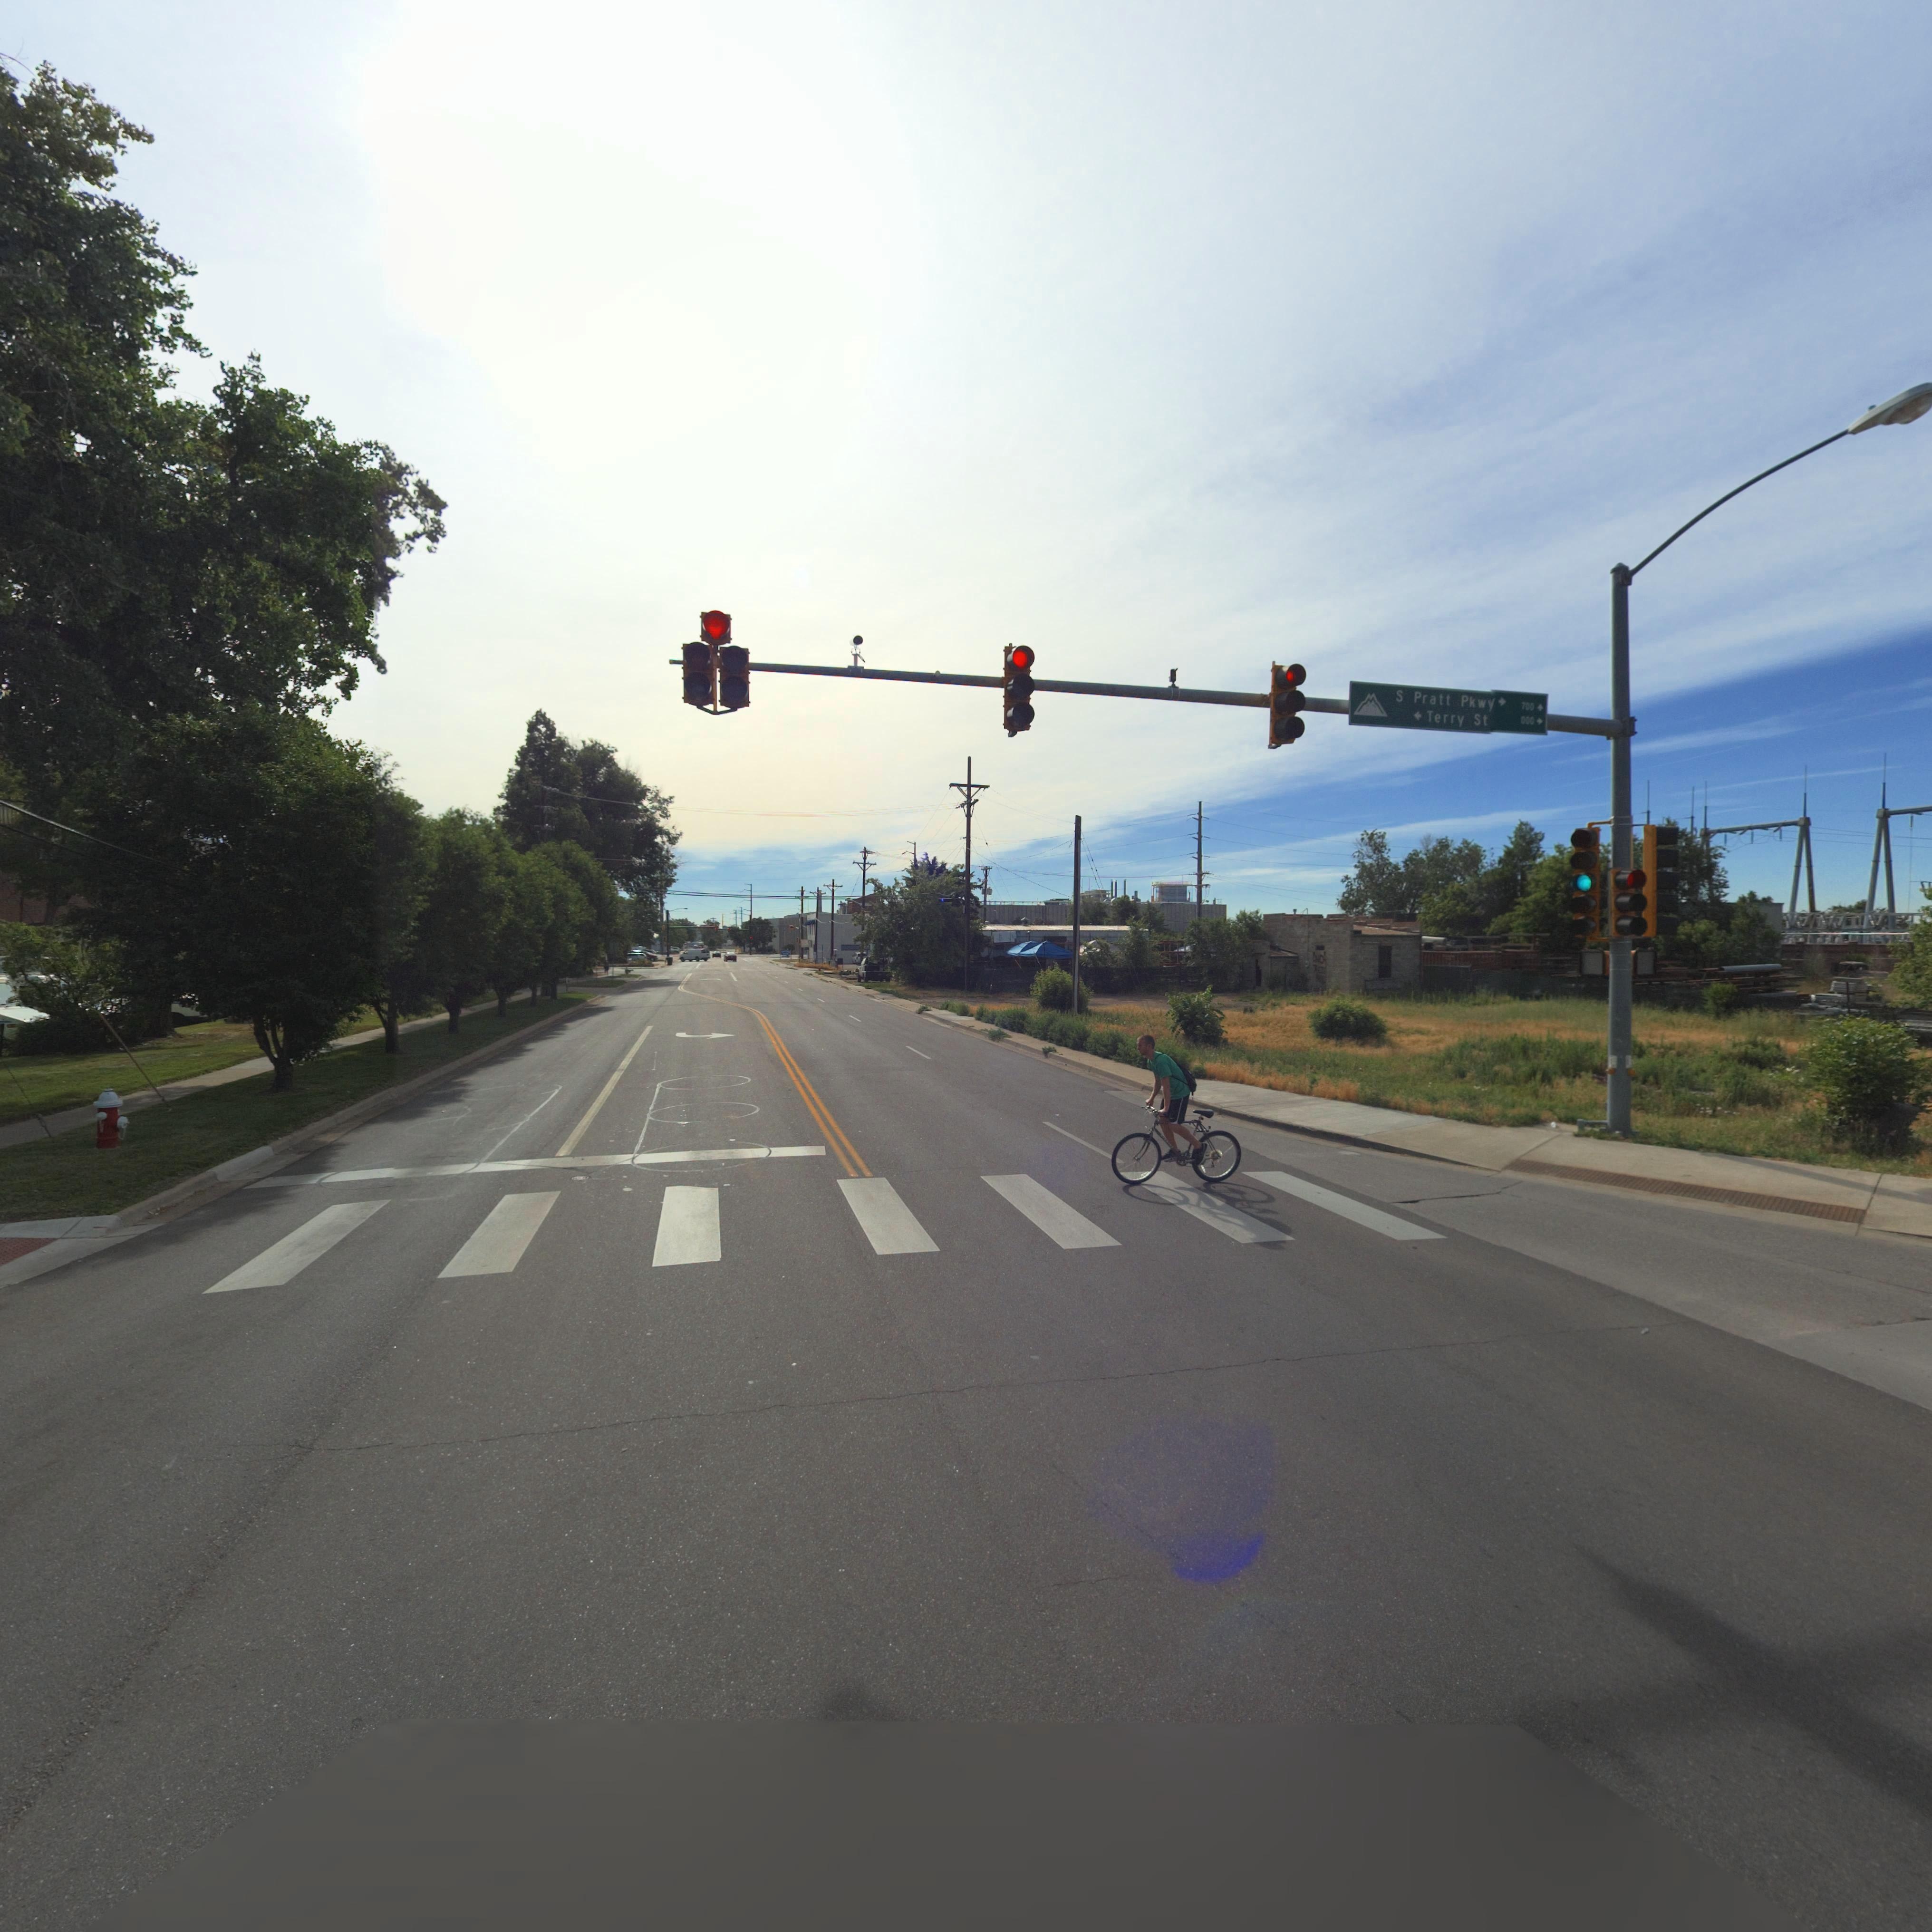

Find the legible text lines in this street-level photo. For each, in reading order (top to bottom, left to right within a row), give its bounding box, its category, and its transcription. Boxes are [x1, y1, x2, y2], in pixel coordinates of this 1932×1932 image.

[1394, 689, 1496, 714] StreetName: S Pratt Pkwy
[1521, 702, 1535, 710] StreetNumberRange: 700
[1425, 710, 1490, 728] StreetName: Terry St
[1519, 715, 1544, 725] StreetNumberRange: 000->